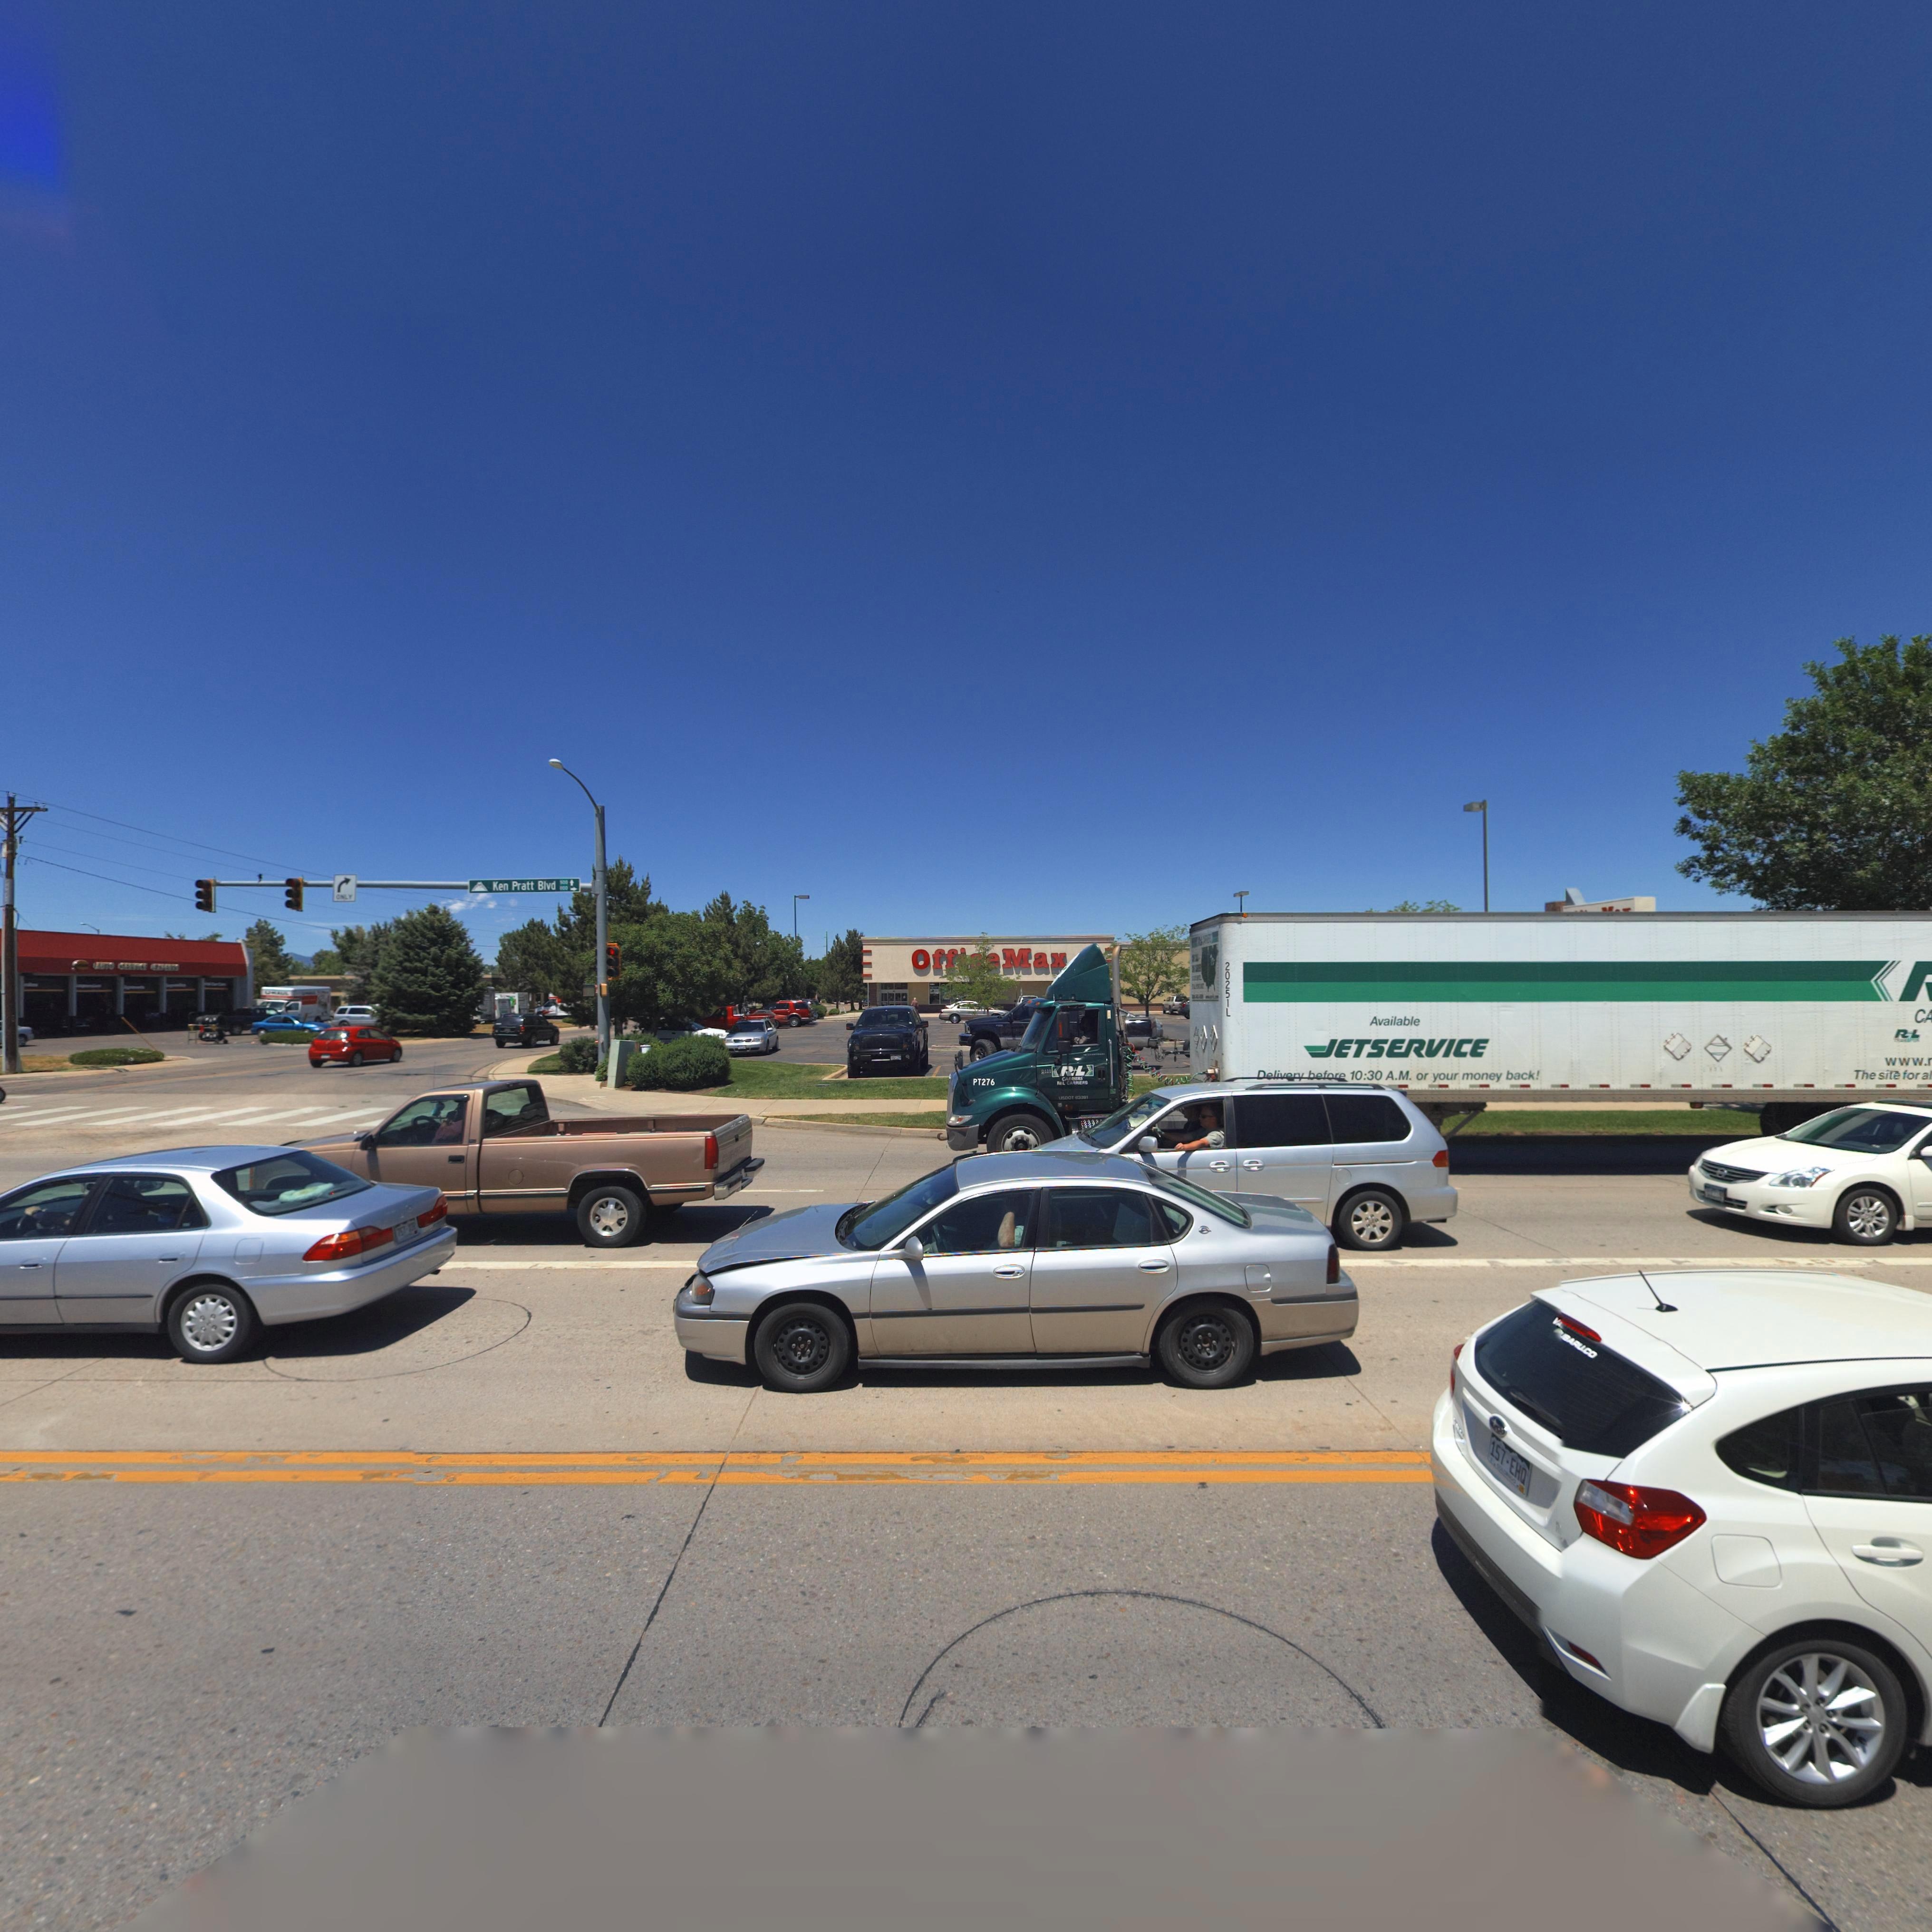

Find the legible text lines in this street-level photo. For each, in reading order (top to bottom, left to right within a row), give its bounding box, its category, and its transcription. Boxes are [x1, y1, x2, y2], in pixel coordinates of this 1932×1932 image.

[492, 880, 556, 891] StreetName: Ken Pratt Blvd
[559, 879, 568, 885] StreetNumberRange: 500
[559, 885, 577, 891] StreetNumberRange: 1*00->
[911, 947, 1067, 970] BusinessName: Off*** Max